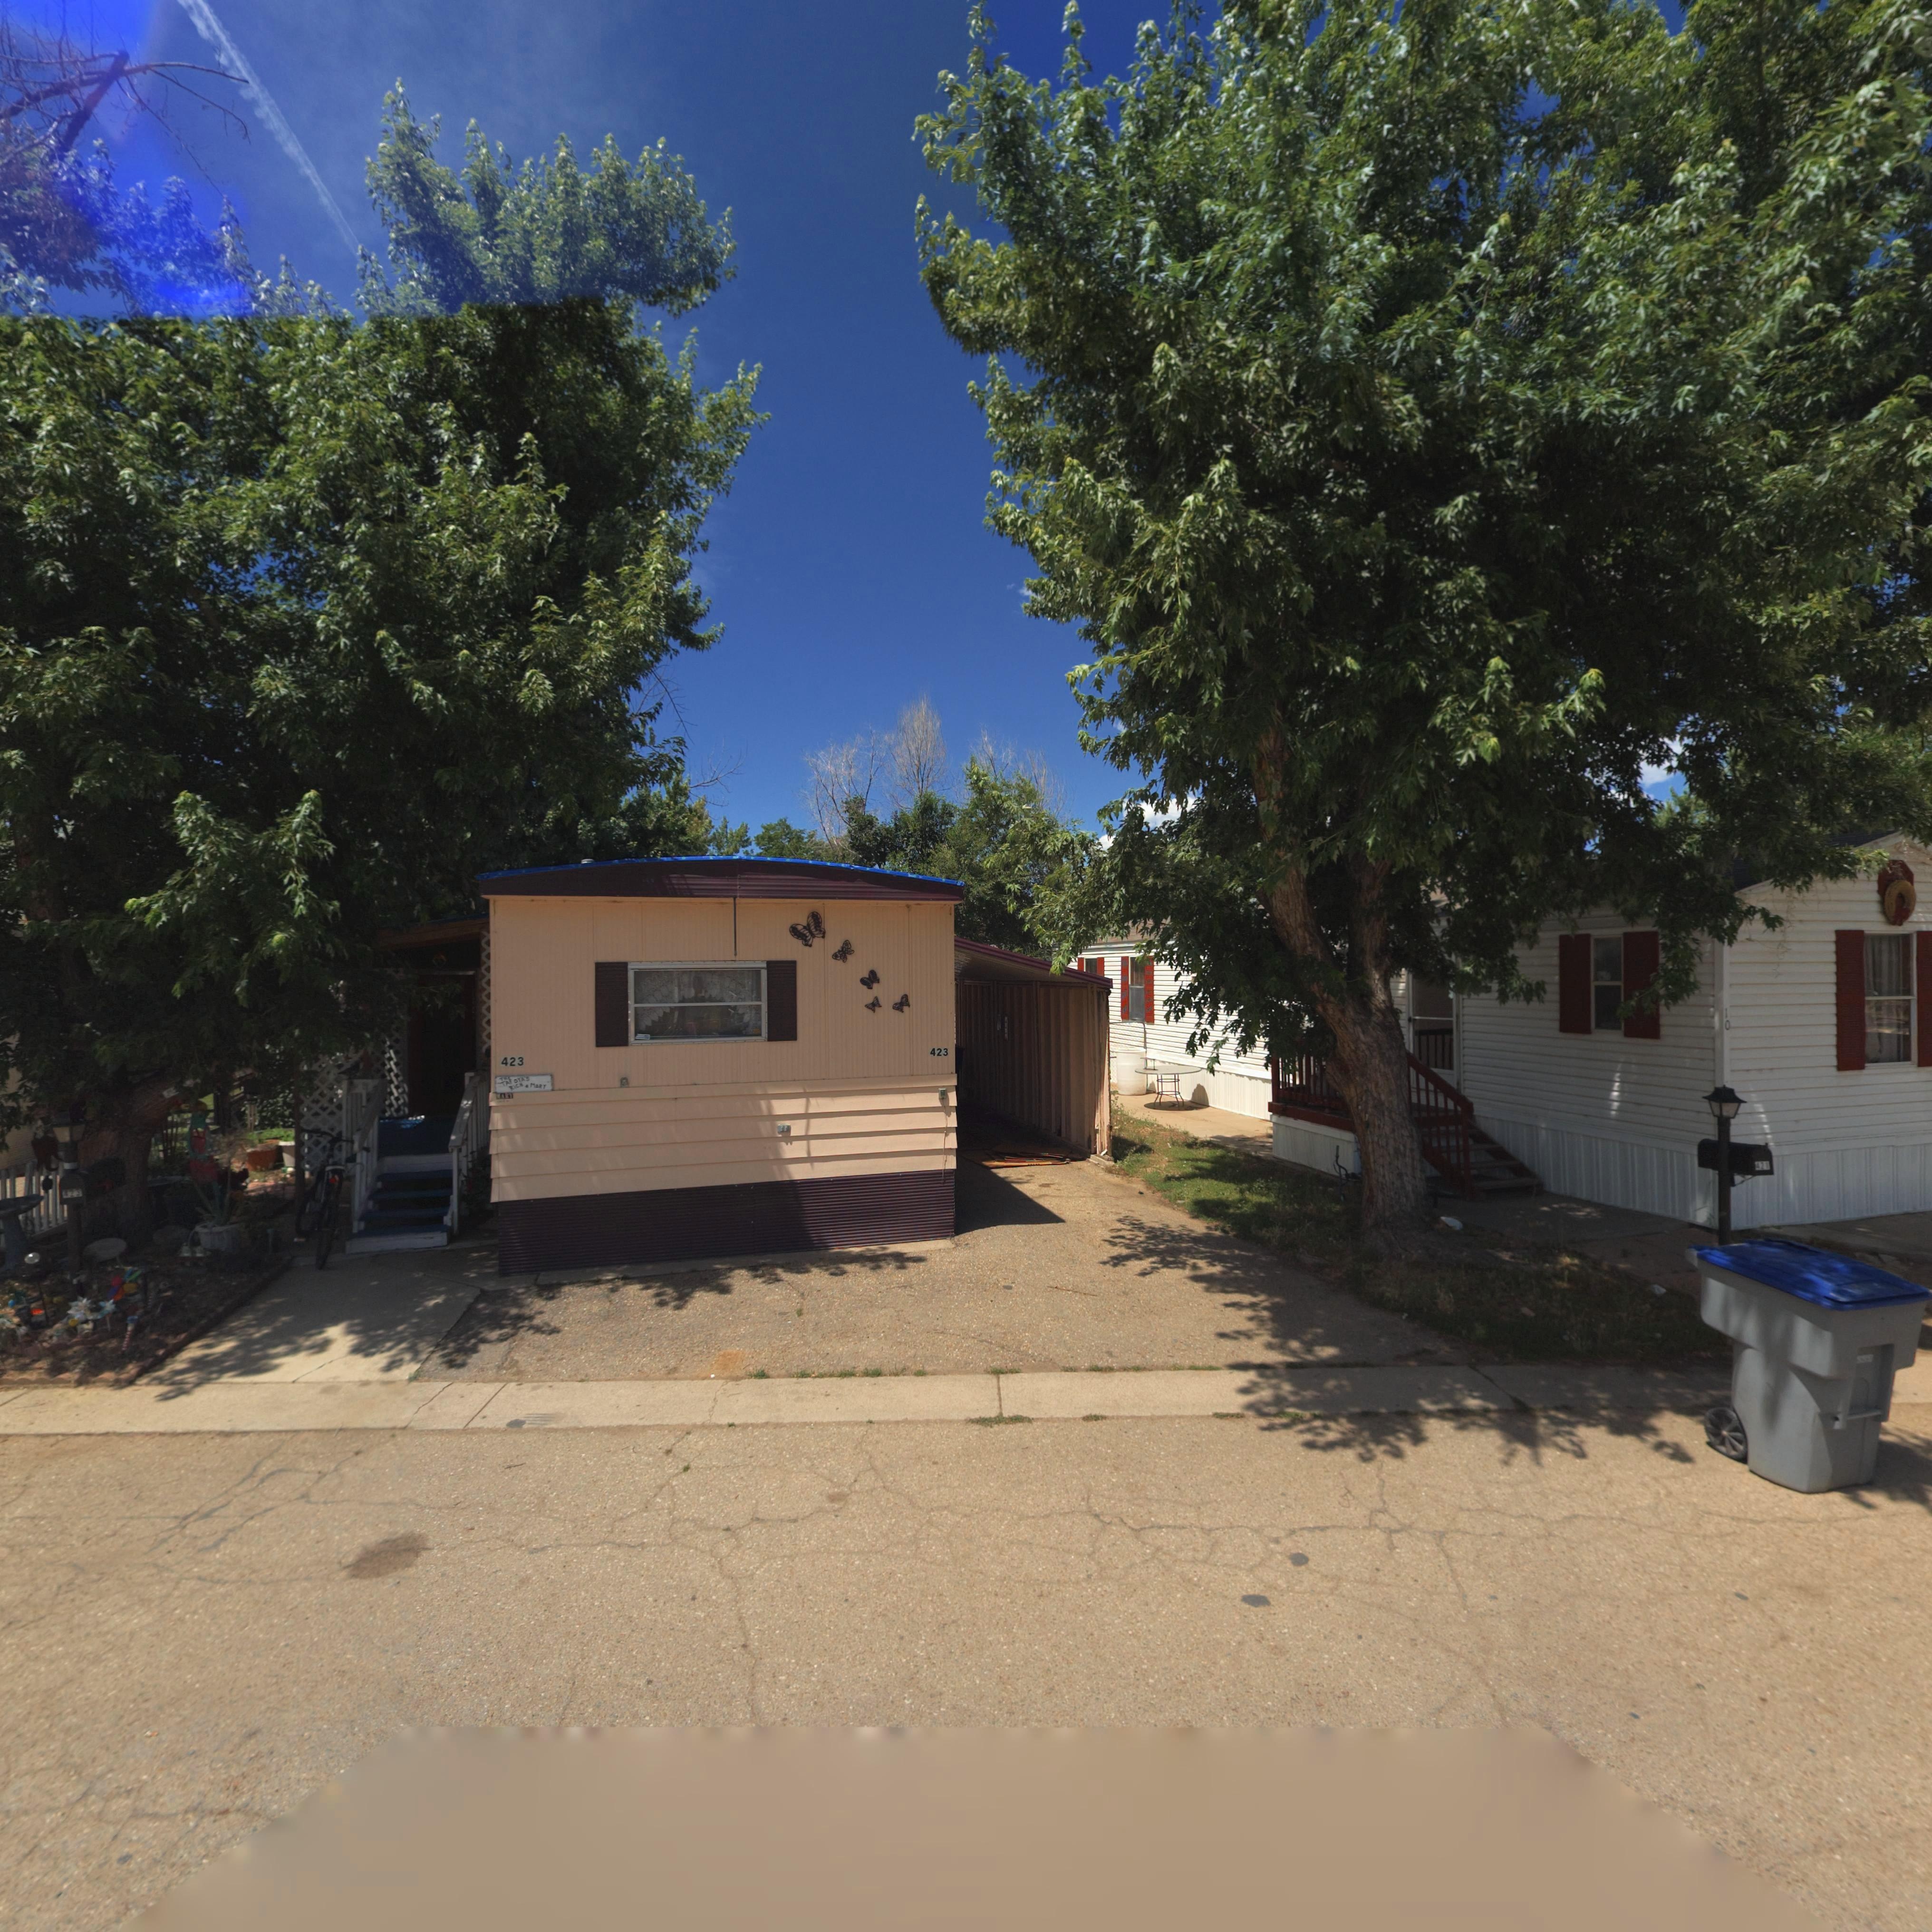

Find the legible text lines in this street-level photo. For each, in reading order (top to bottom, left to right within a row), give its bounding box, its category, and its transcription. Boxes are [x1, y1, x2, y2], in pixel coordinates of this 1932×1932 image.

[930, 1047, 948, 1056] StreetNumber: 423
[501, 1056, 523, 1066] StreetNumber: 423
[1756, 1161, 1769, 1169] StreetNumber: 421
[63, 1188, 80, 1198] StreetNumber: 42*